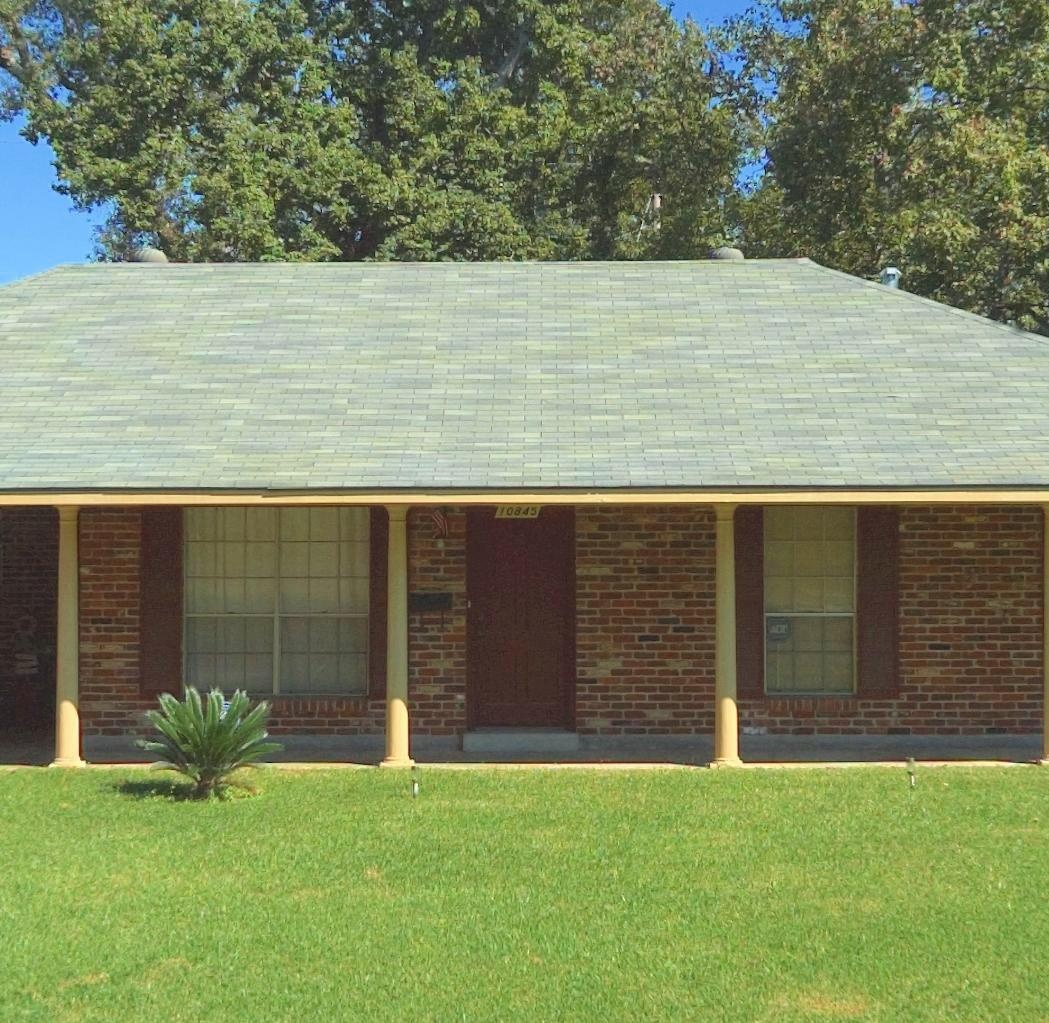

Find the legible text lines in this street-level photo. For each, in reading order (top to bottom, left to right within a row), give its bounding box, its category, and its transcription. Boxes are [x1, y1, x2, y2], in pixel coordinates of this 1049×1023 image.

[497, 505, 539, 517] StreetNumber: 10845
[768, 623, 789, 635] None: ADT